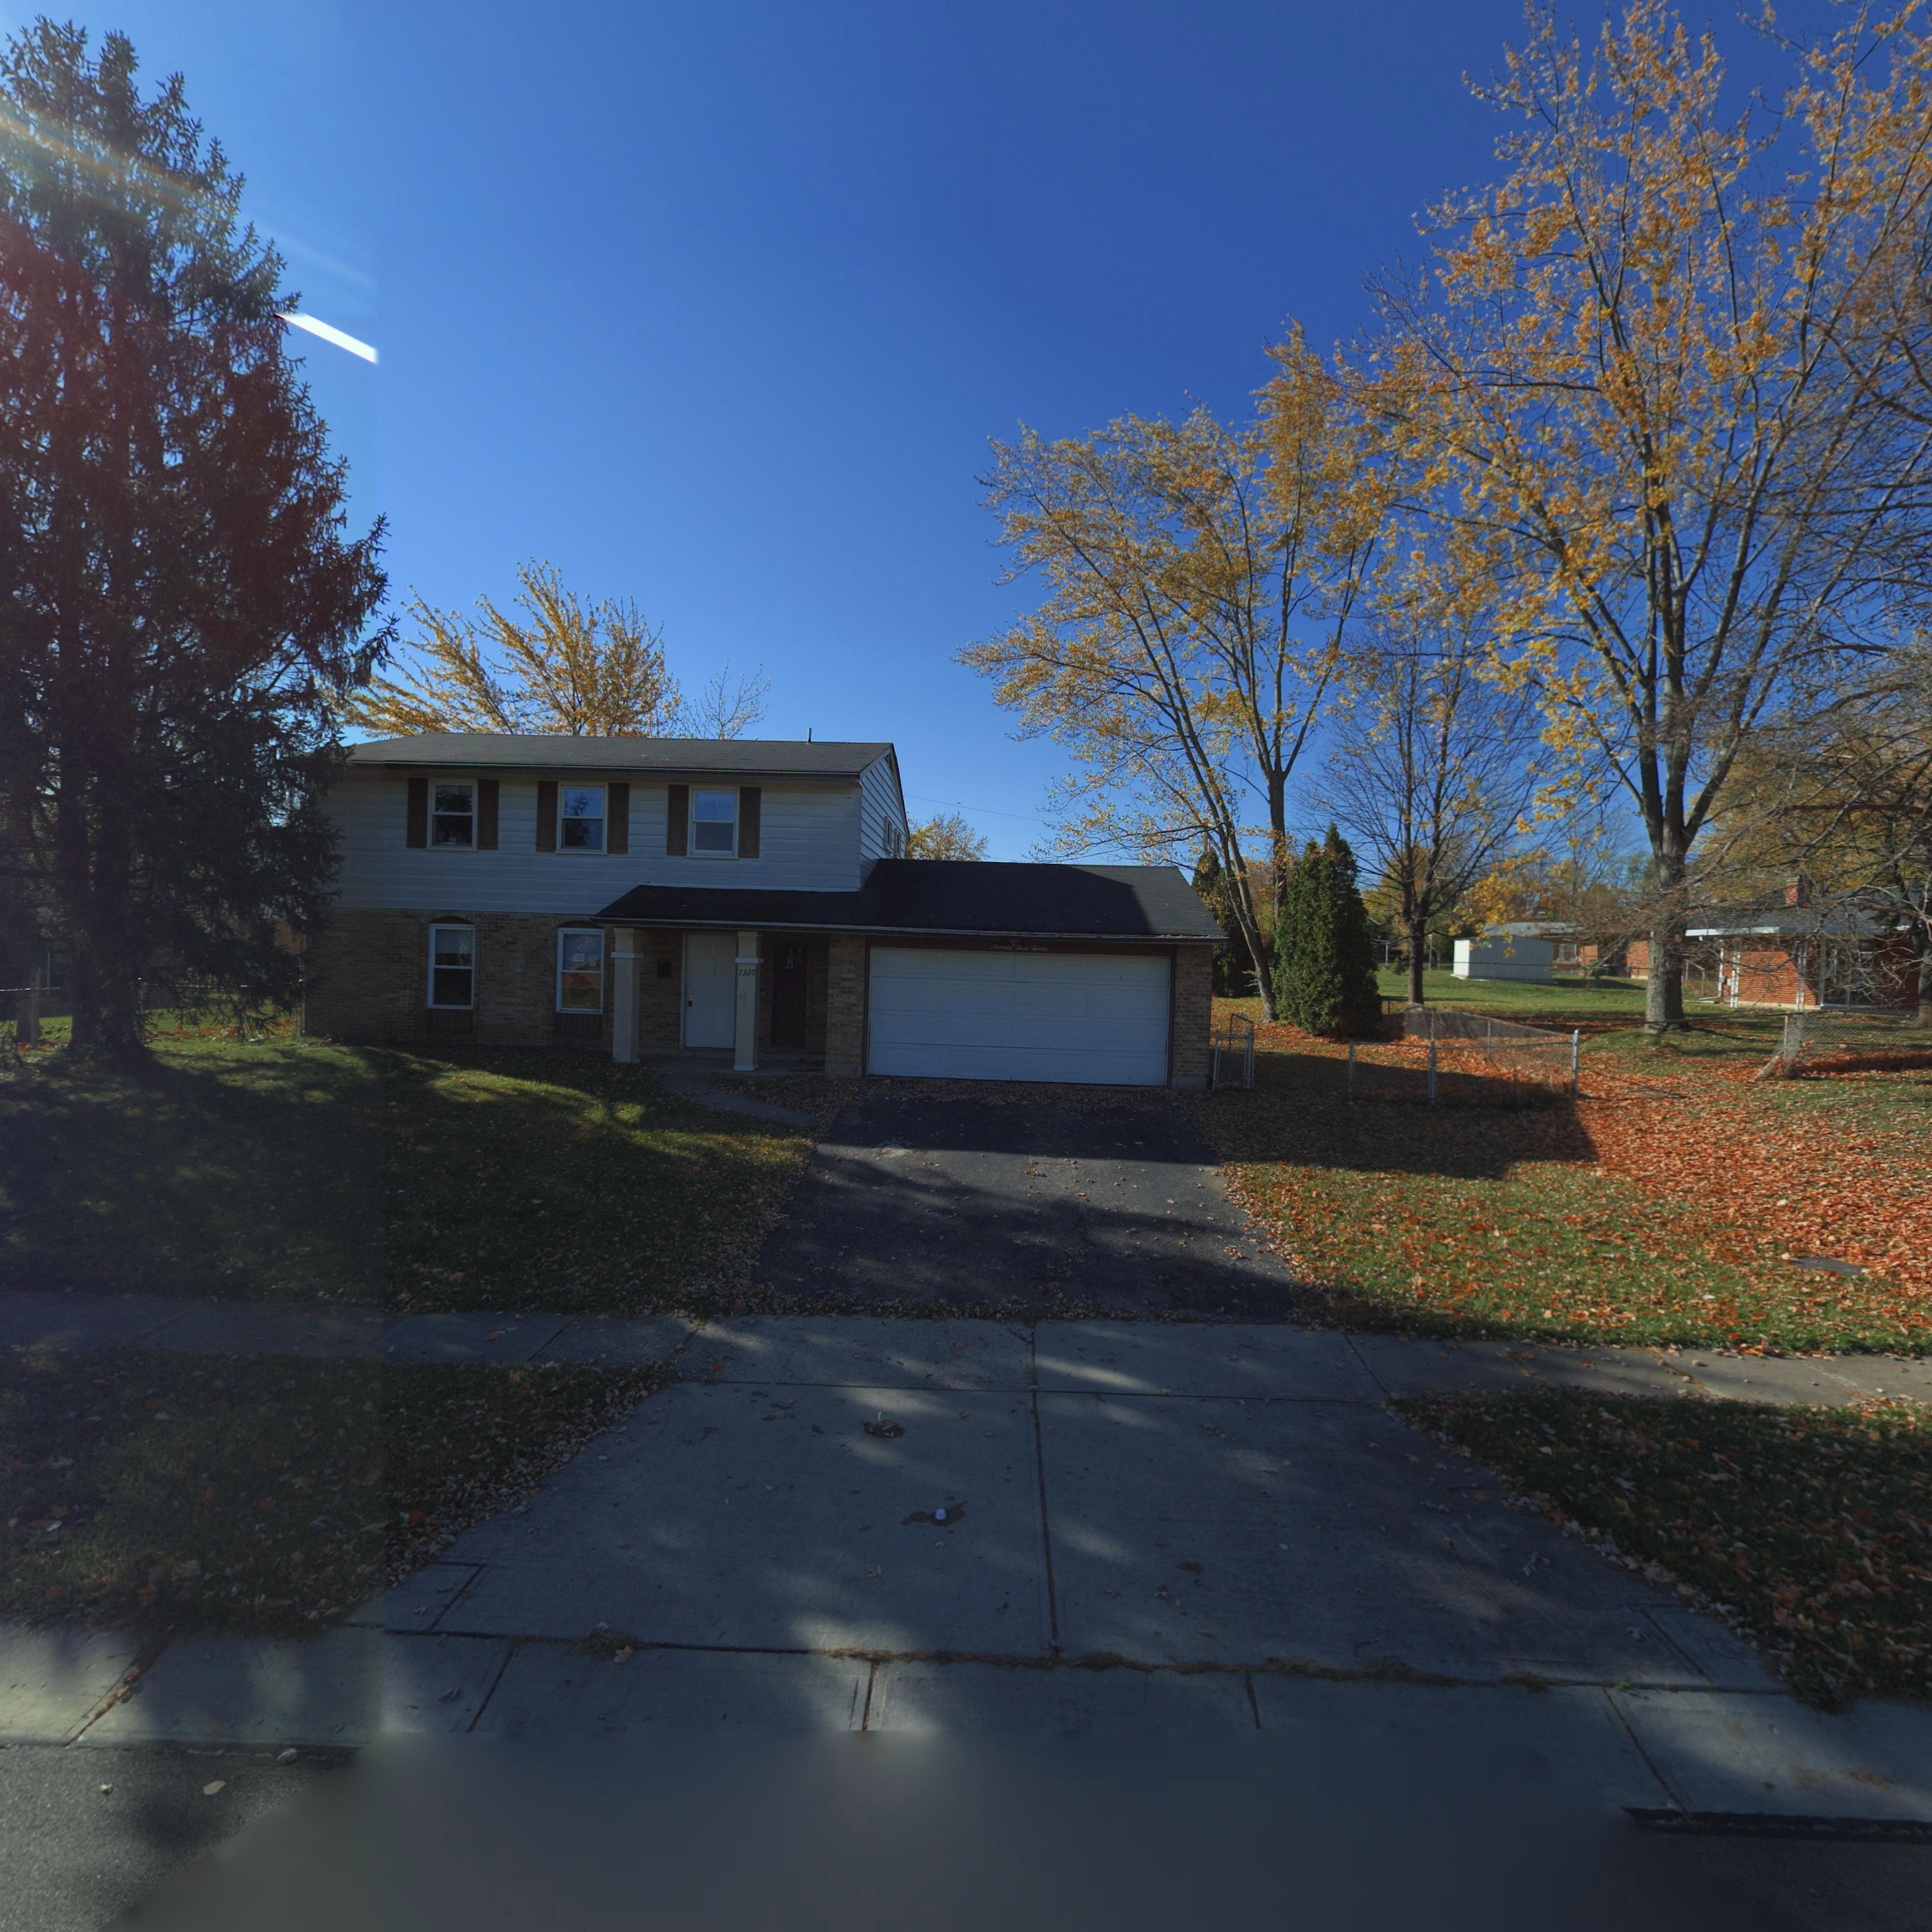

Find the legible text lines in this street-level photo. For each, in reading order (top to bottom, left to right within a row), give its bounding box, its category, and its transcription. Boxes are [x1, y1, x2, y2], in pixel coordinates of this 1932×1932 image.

[738, 968, 757, 977] StreetNumber: 7320